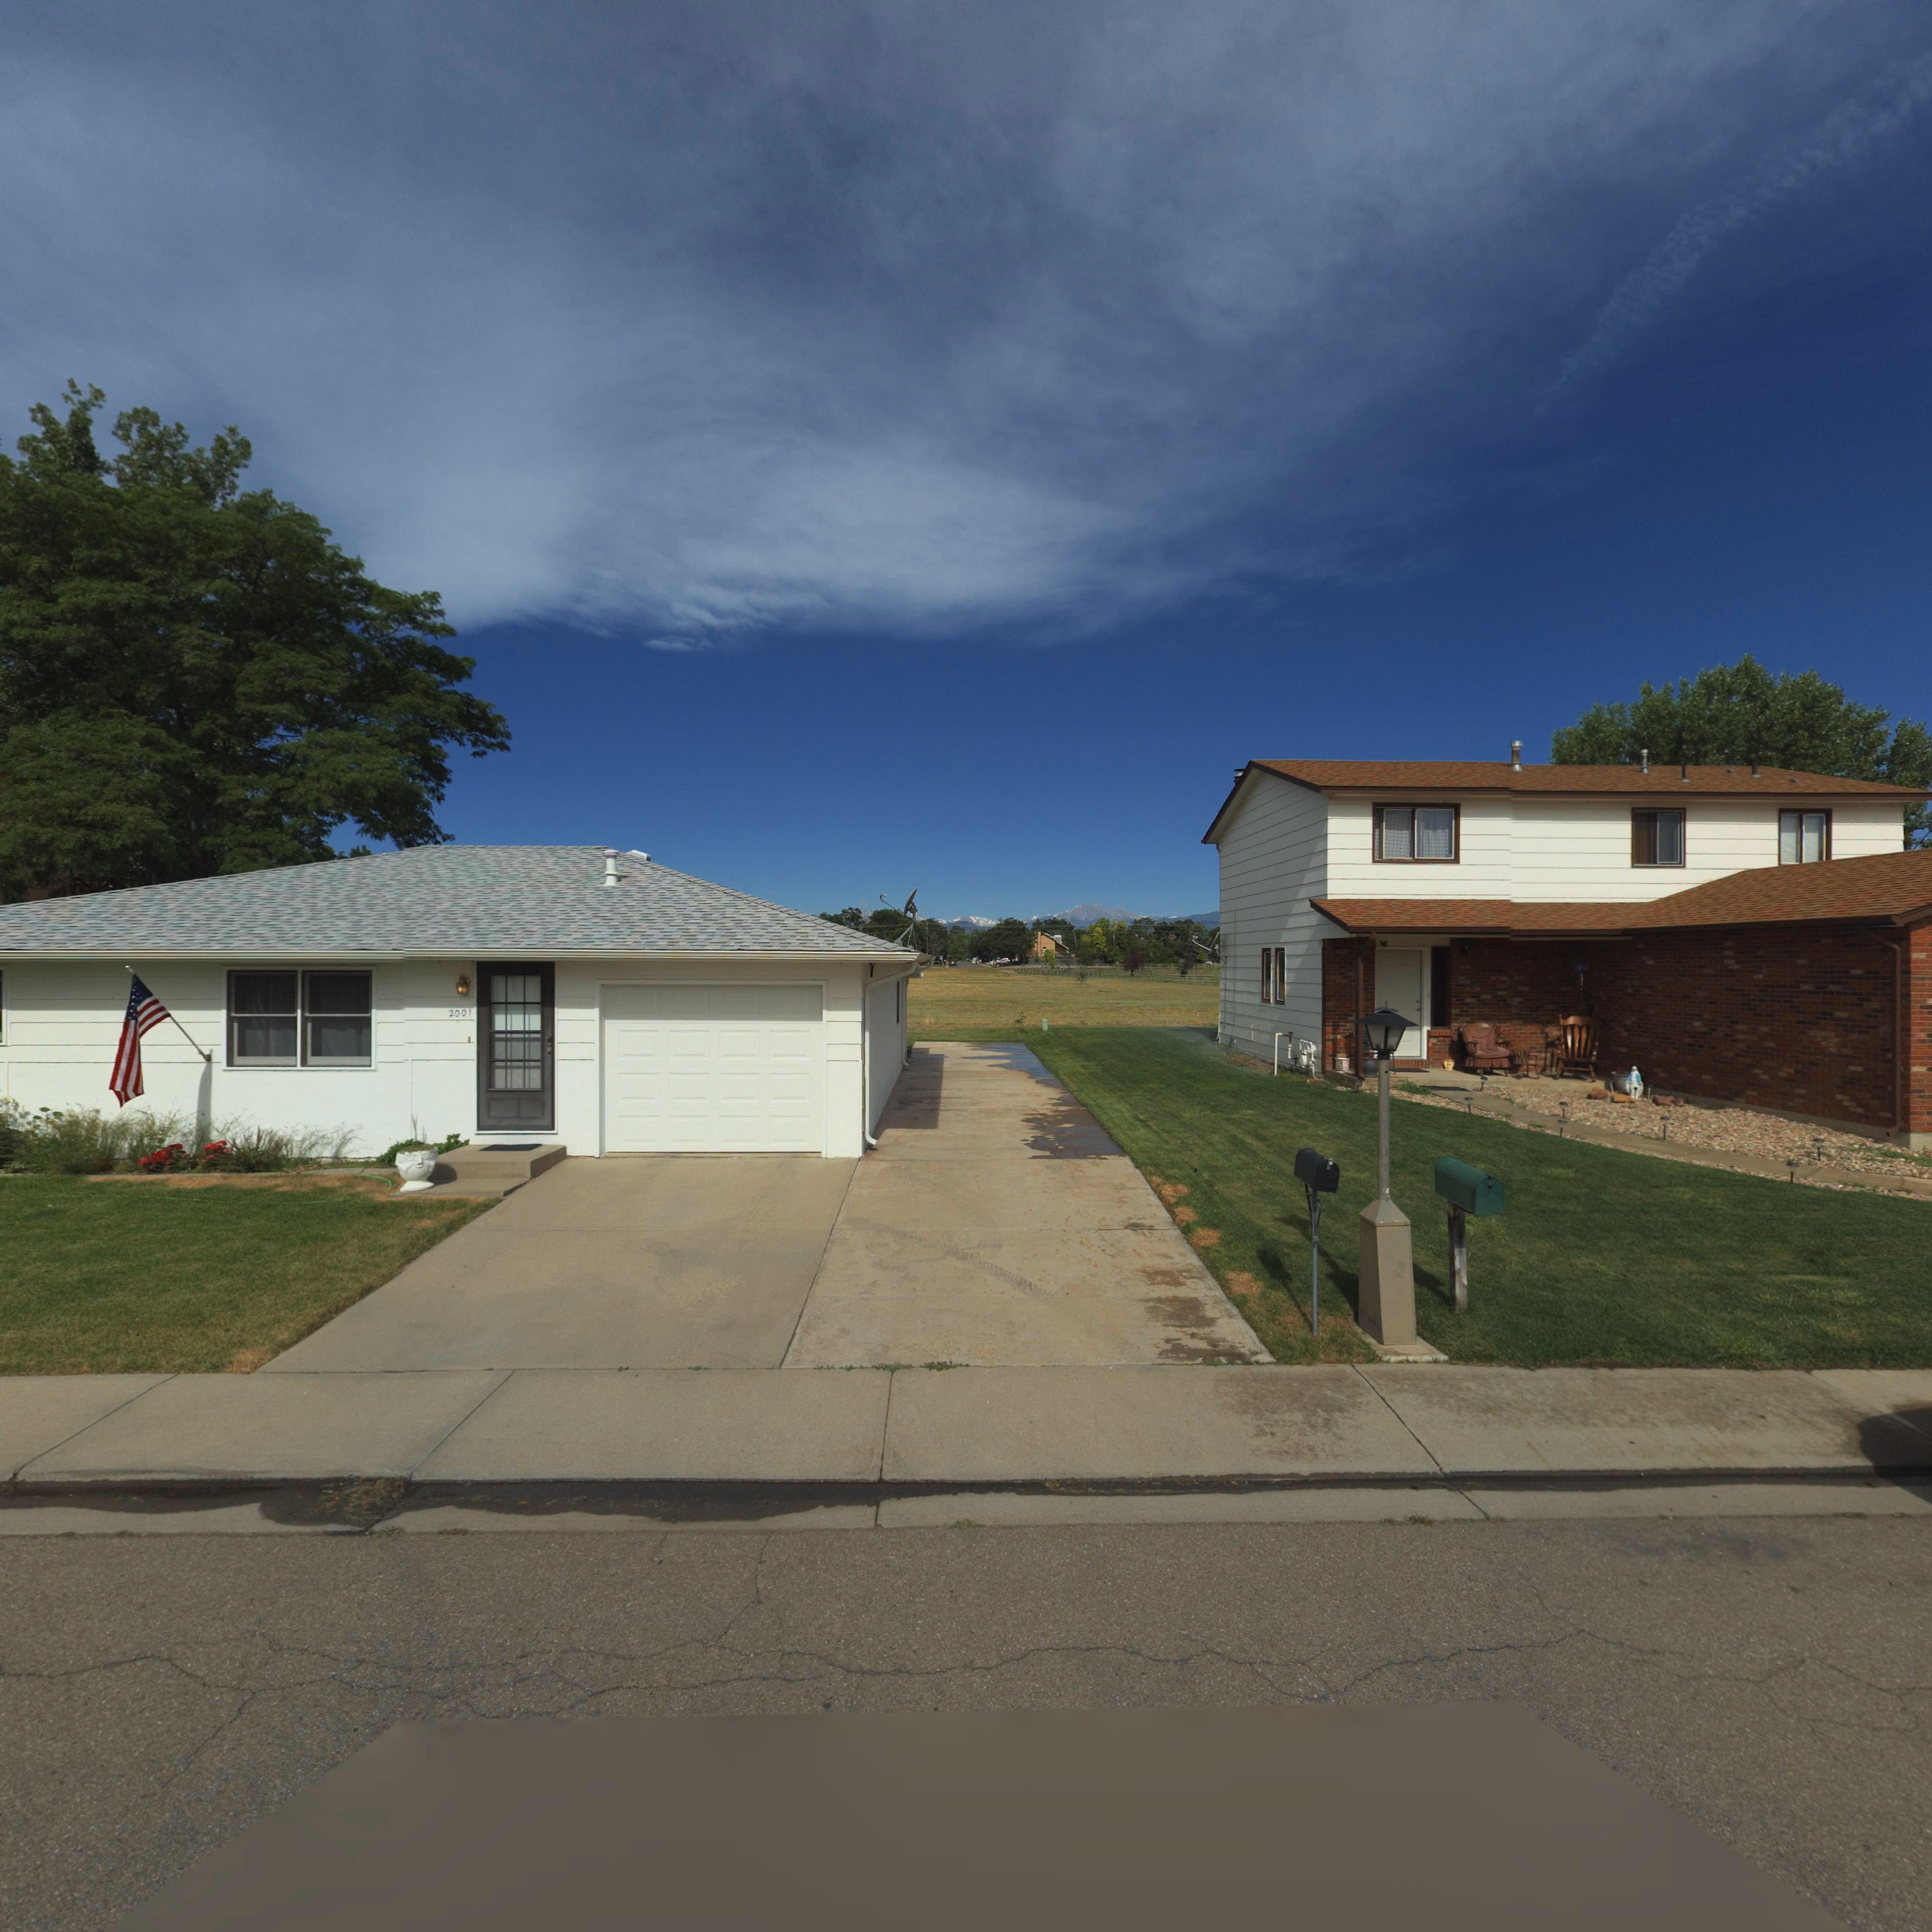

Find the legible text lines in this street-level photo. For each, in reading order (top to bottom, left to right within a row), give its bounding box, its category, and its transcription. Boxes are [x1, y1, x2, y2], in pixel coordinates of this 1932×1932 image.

[447, 1008, 471, 1017] StreetNumber: 2001